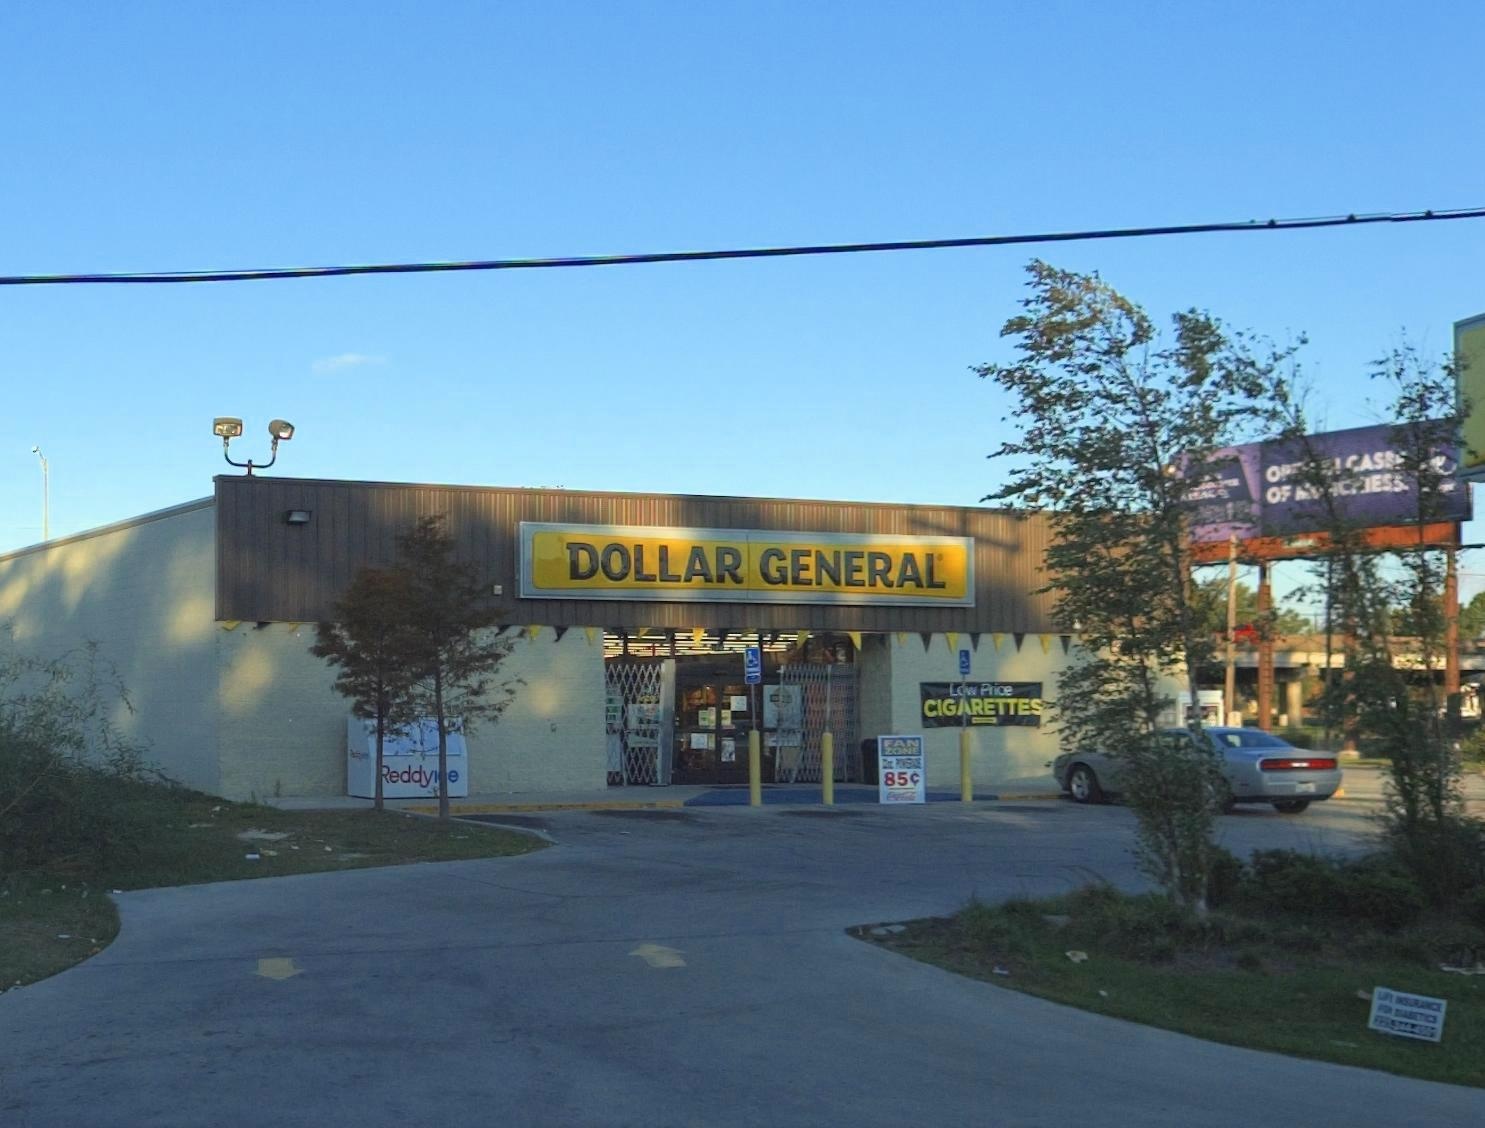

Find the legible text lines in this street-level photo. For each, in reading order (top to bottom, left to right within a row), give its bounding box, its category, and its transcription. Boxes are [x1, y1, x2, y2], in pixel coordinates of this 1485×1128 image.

[1263, 461, 1292, 486] None: OP
[1262, 483, 1293, 506] None: OF
[1343, 447, 1386, 476] None: CAS
[1370, 470, 1414, 495] None: ESS.
[562, 537, 950, 592] BusinessName: DOLLAR GENERAL
[948, 680, 1015, 698] None: Low Price
[920, 695, 1045, 720] None: CIGARETTES
[387, 763, 460, 790] None: edd*e
[883, 769, 922, 789] None: 85*